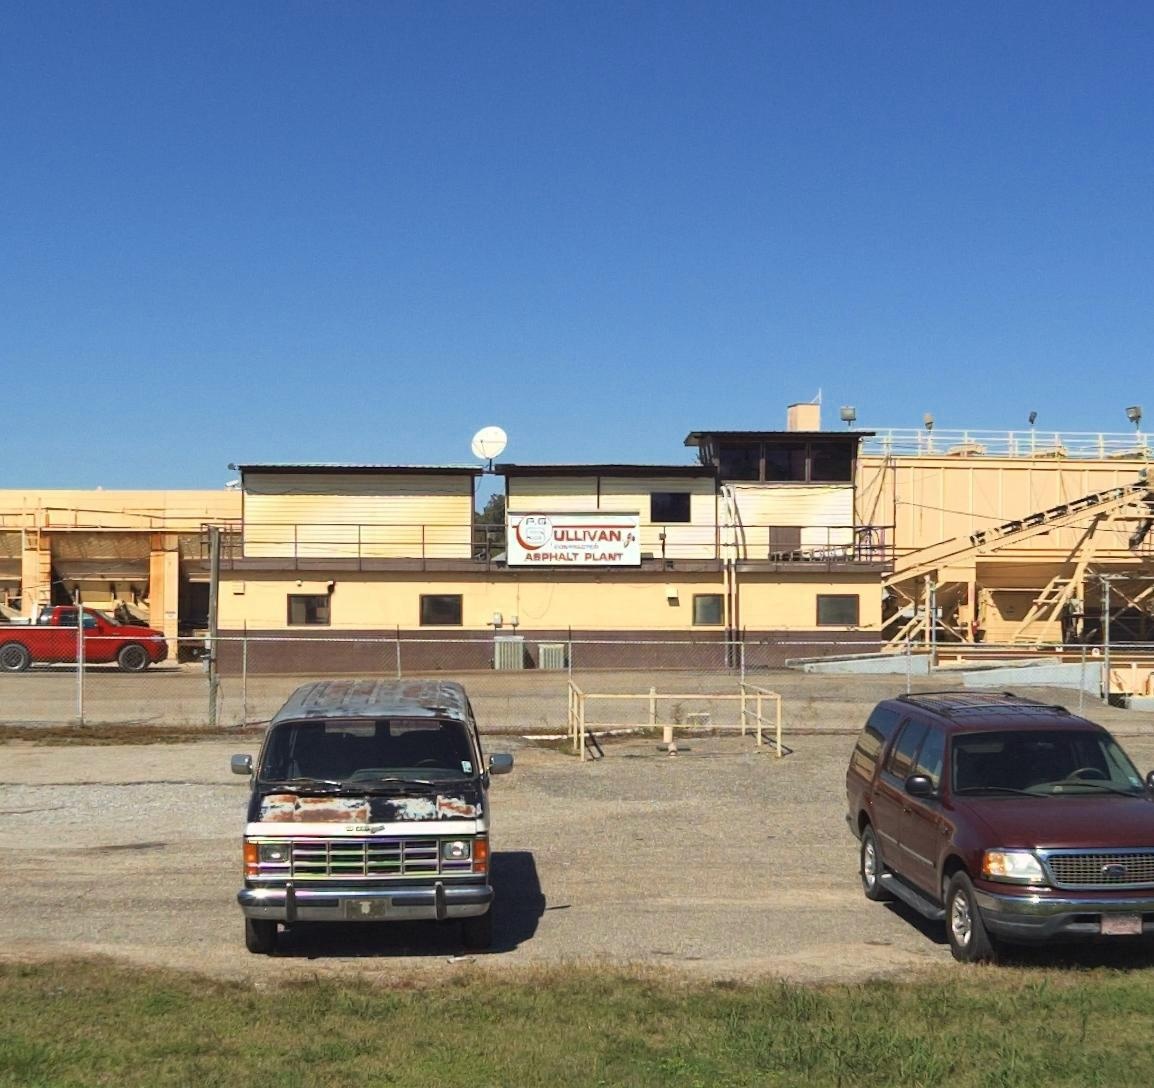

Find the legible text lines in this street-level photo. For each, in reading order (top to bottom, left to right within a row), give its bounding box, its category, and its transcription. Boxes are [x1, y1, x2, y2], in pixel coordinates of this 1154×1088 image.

[526, 527, 622, 544] BusinessName: SULLIVAN
[523, 552, 624, 562] BusinessName: ASPHALT PLANT